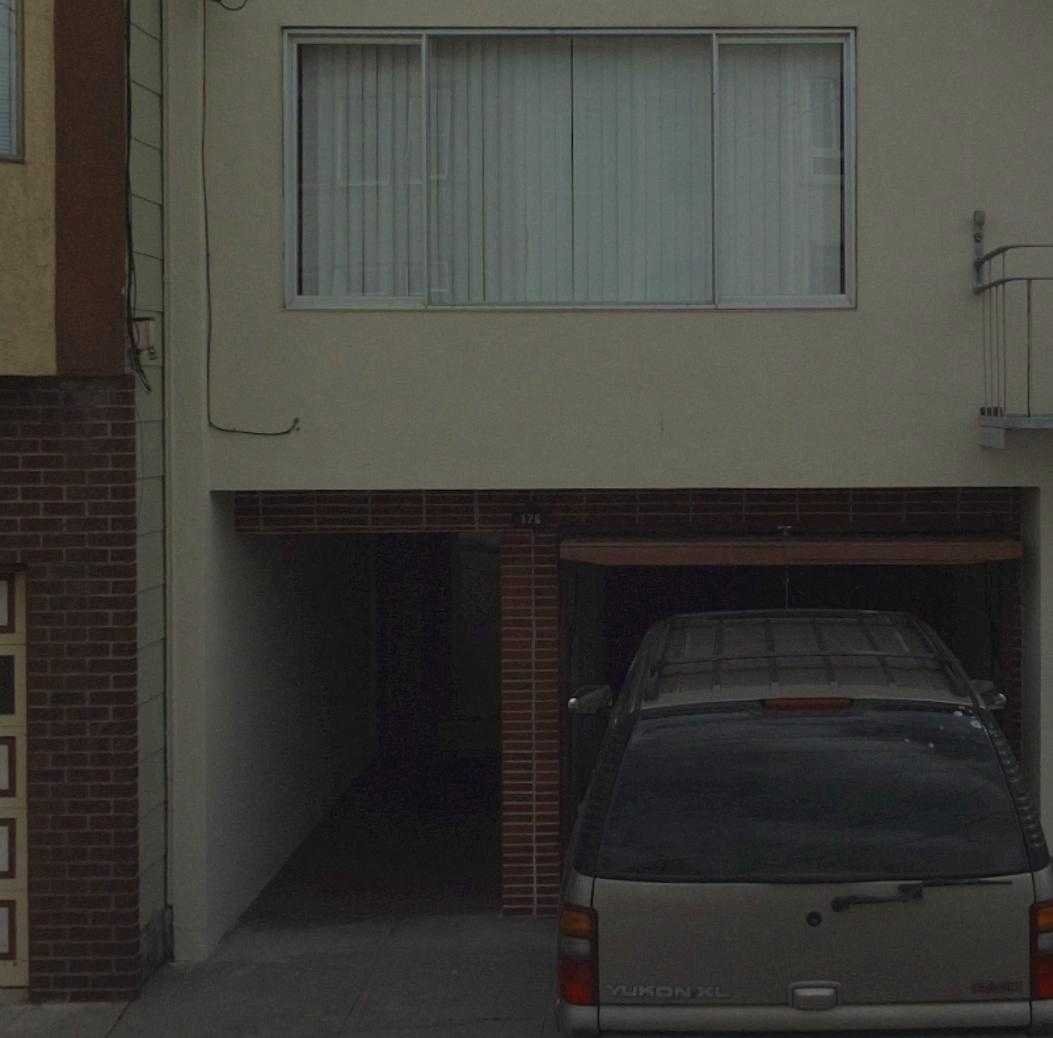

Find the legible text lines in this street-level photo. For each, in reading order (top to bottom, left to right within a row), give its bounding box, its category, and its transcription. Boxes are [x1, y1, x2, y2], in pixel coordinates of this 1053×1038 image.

[519, 513, 542, 525] StreetNumber: 176
[603, 983, 730, 1000] None: YUKON XL